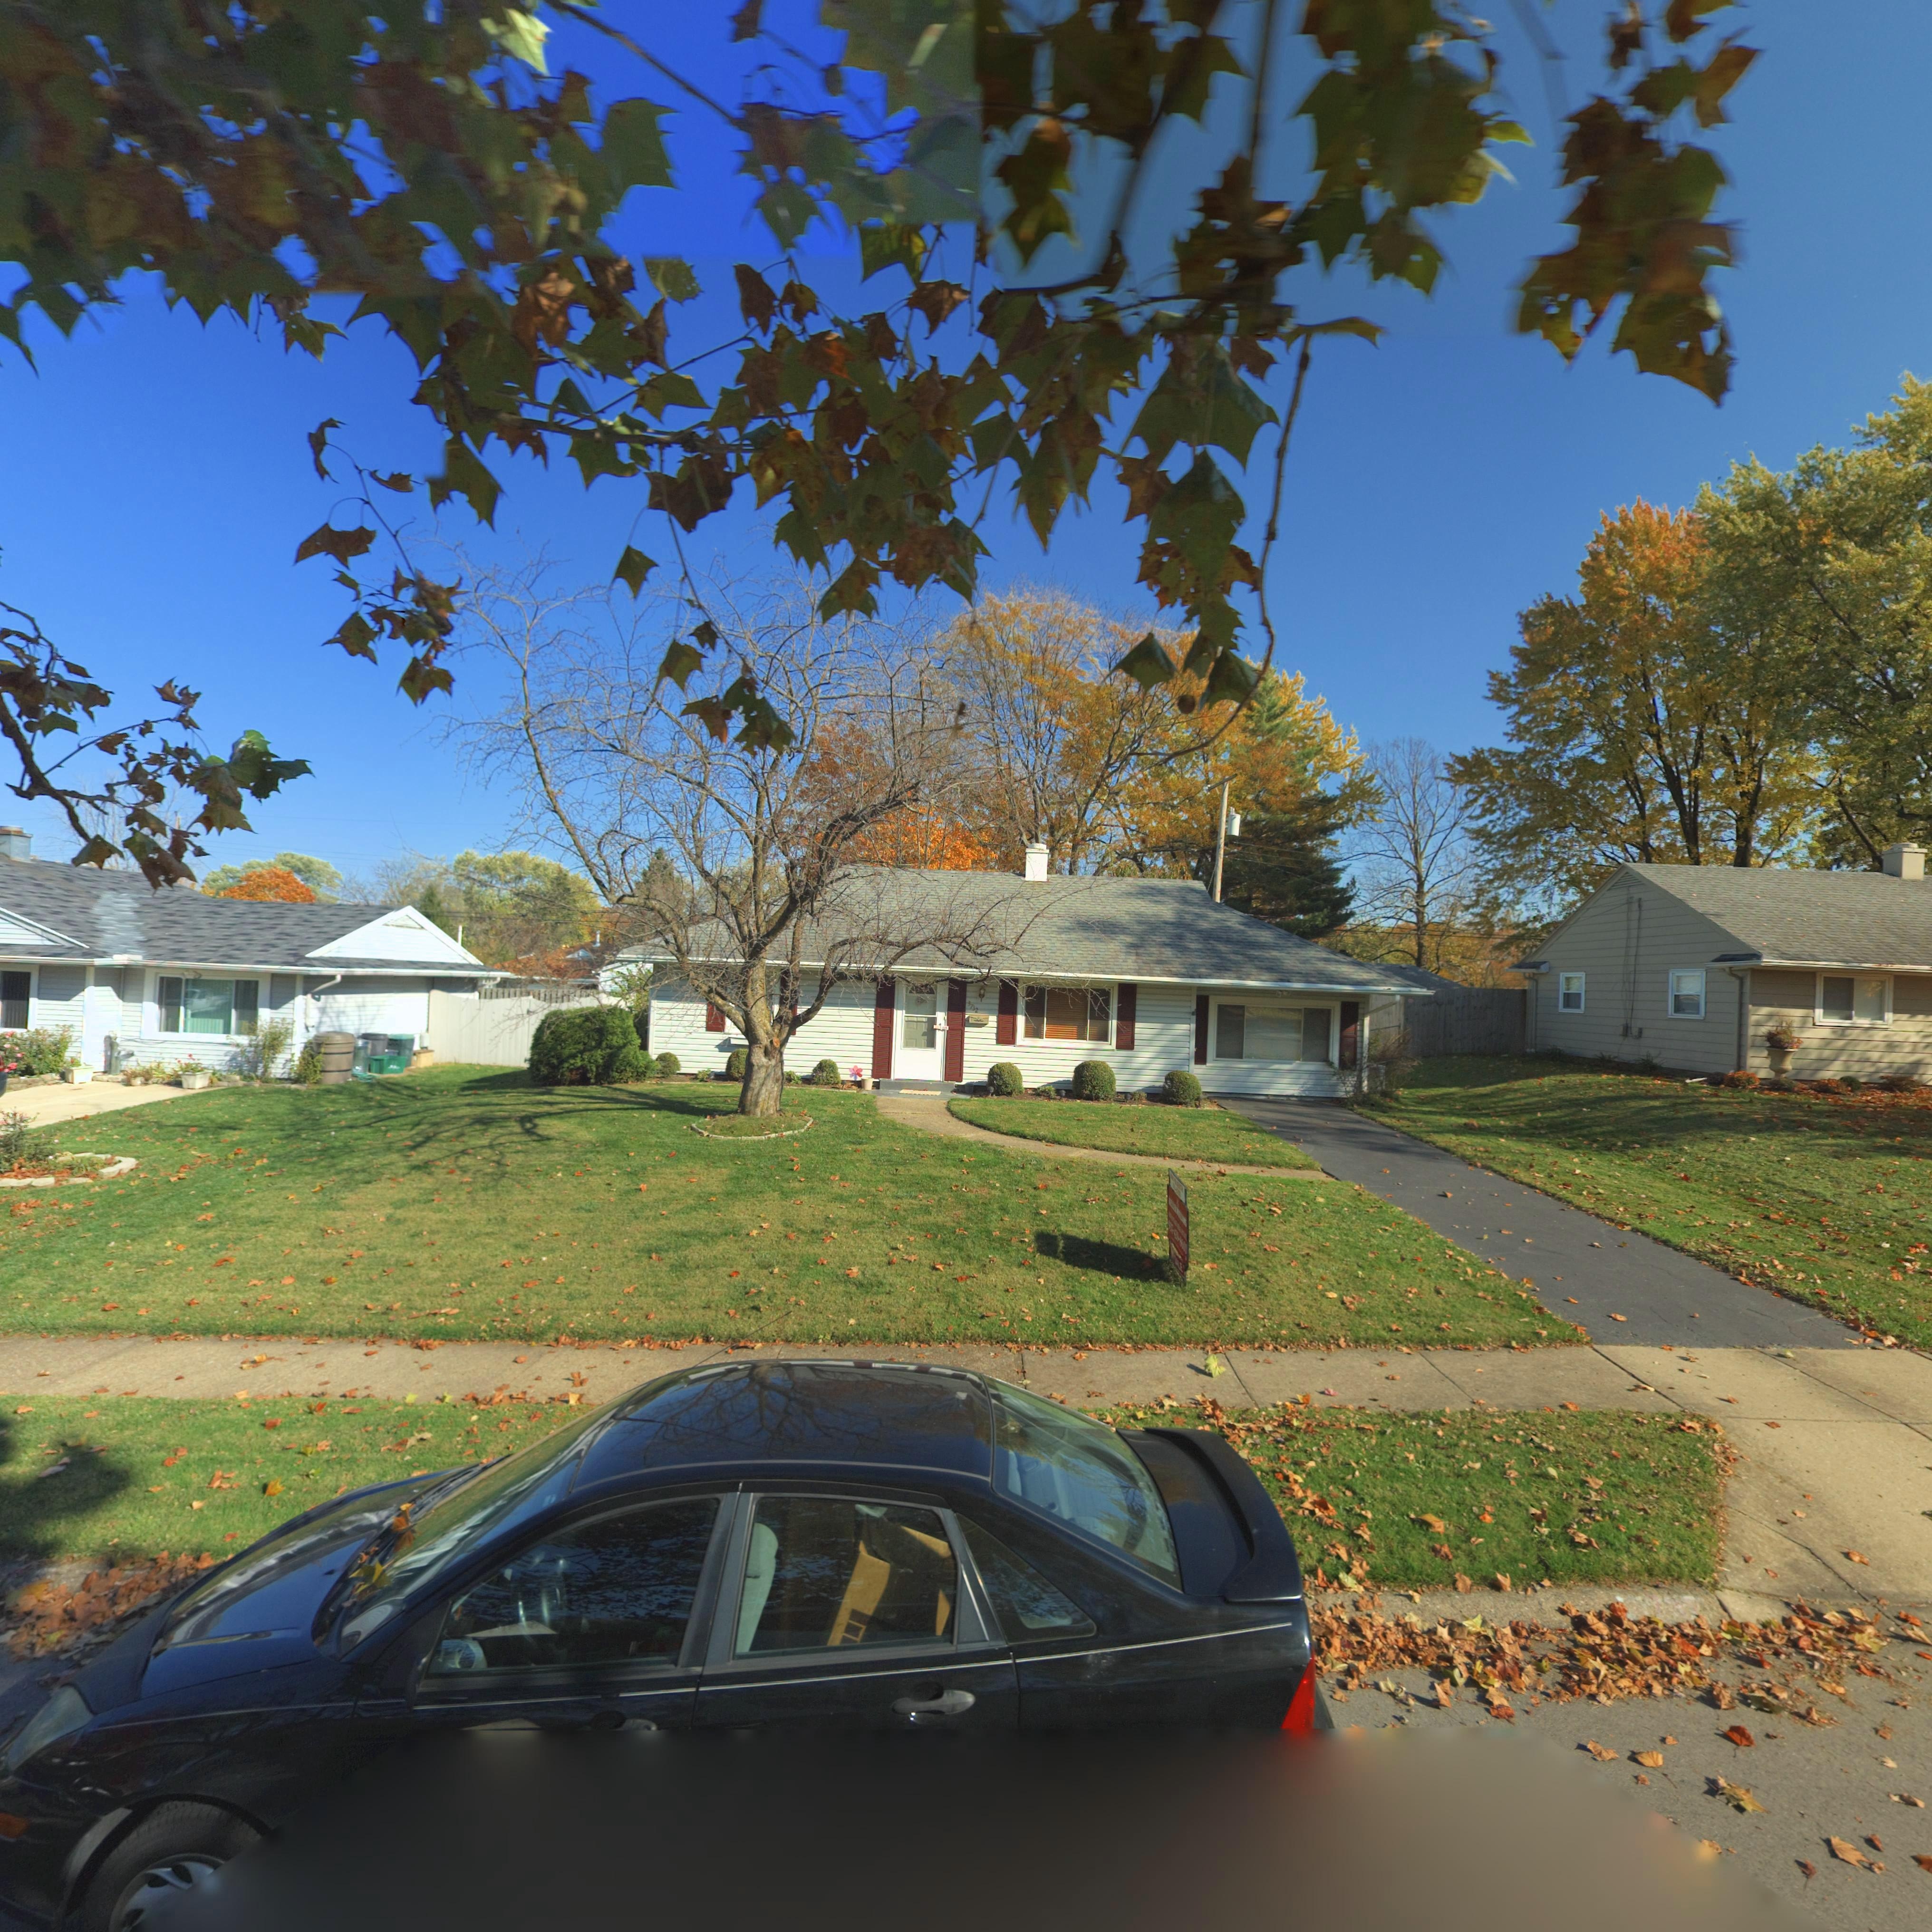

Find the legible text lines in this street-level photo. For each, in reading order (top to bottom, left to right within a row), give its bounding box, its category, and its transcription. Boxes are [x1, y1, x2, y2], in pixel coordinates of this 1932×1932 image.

[967, 1000, 978, 1014] StreetNumber: 3732